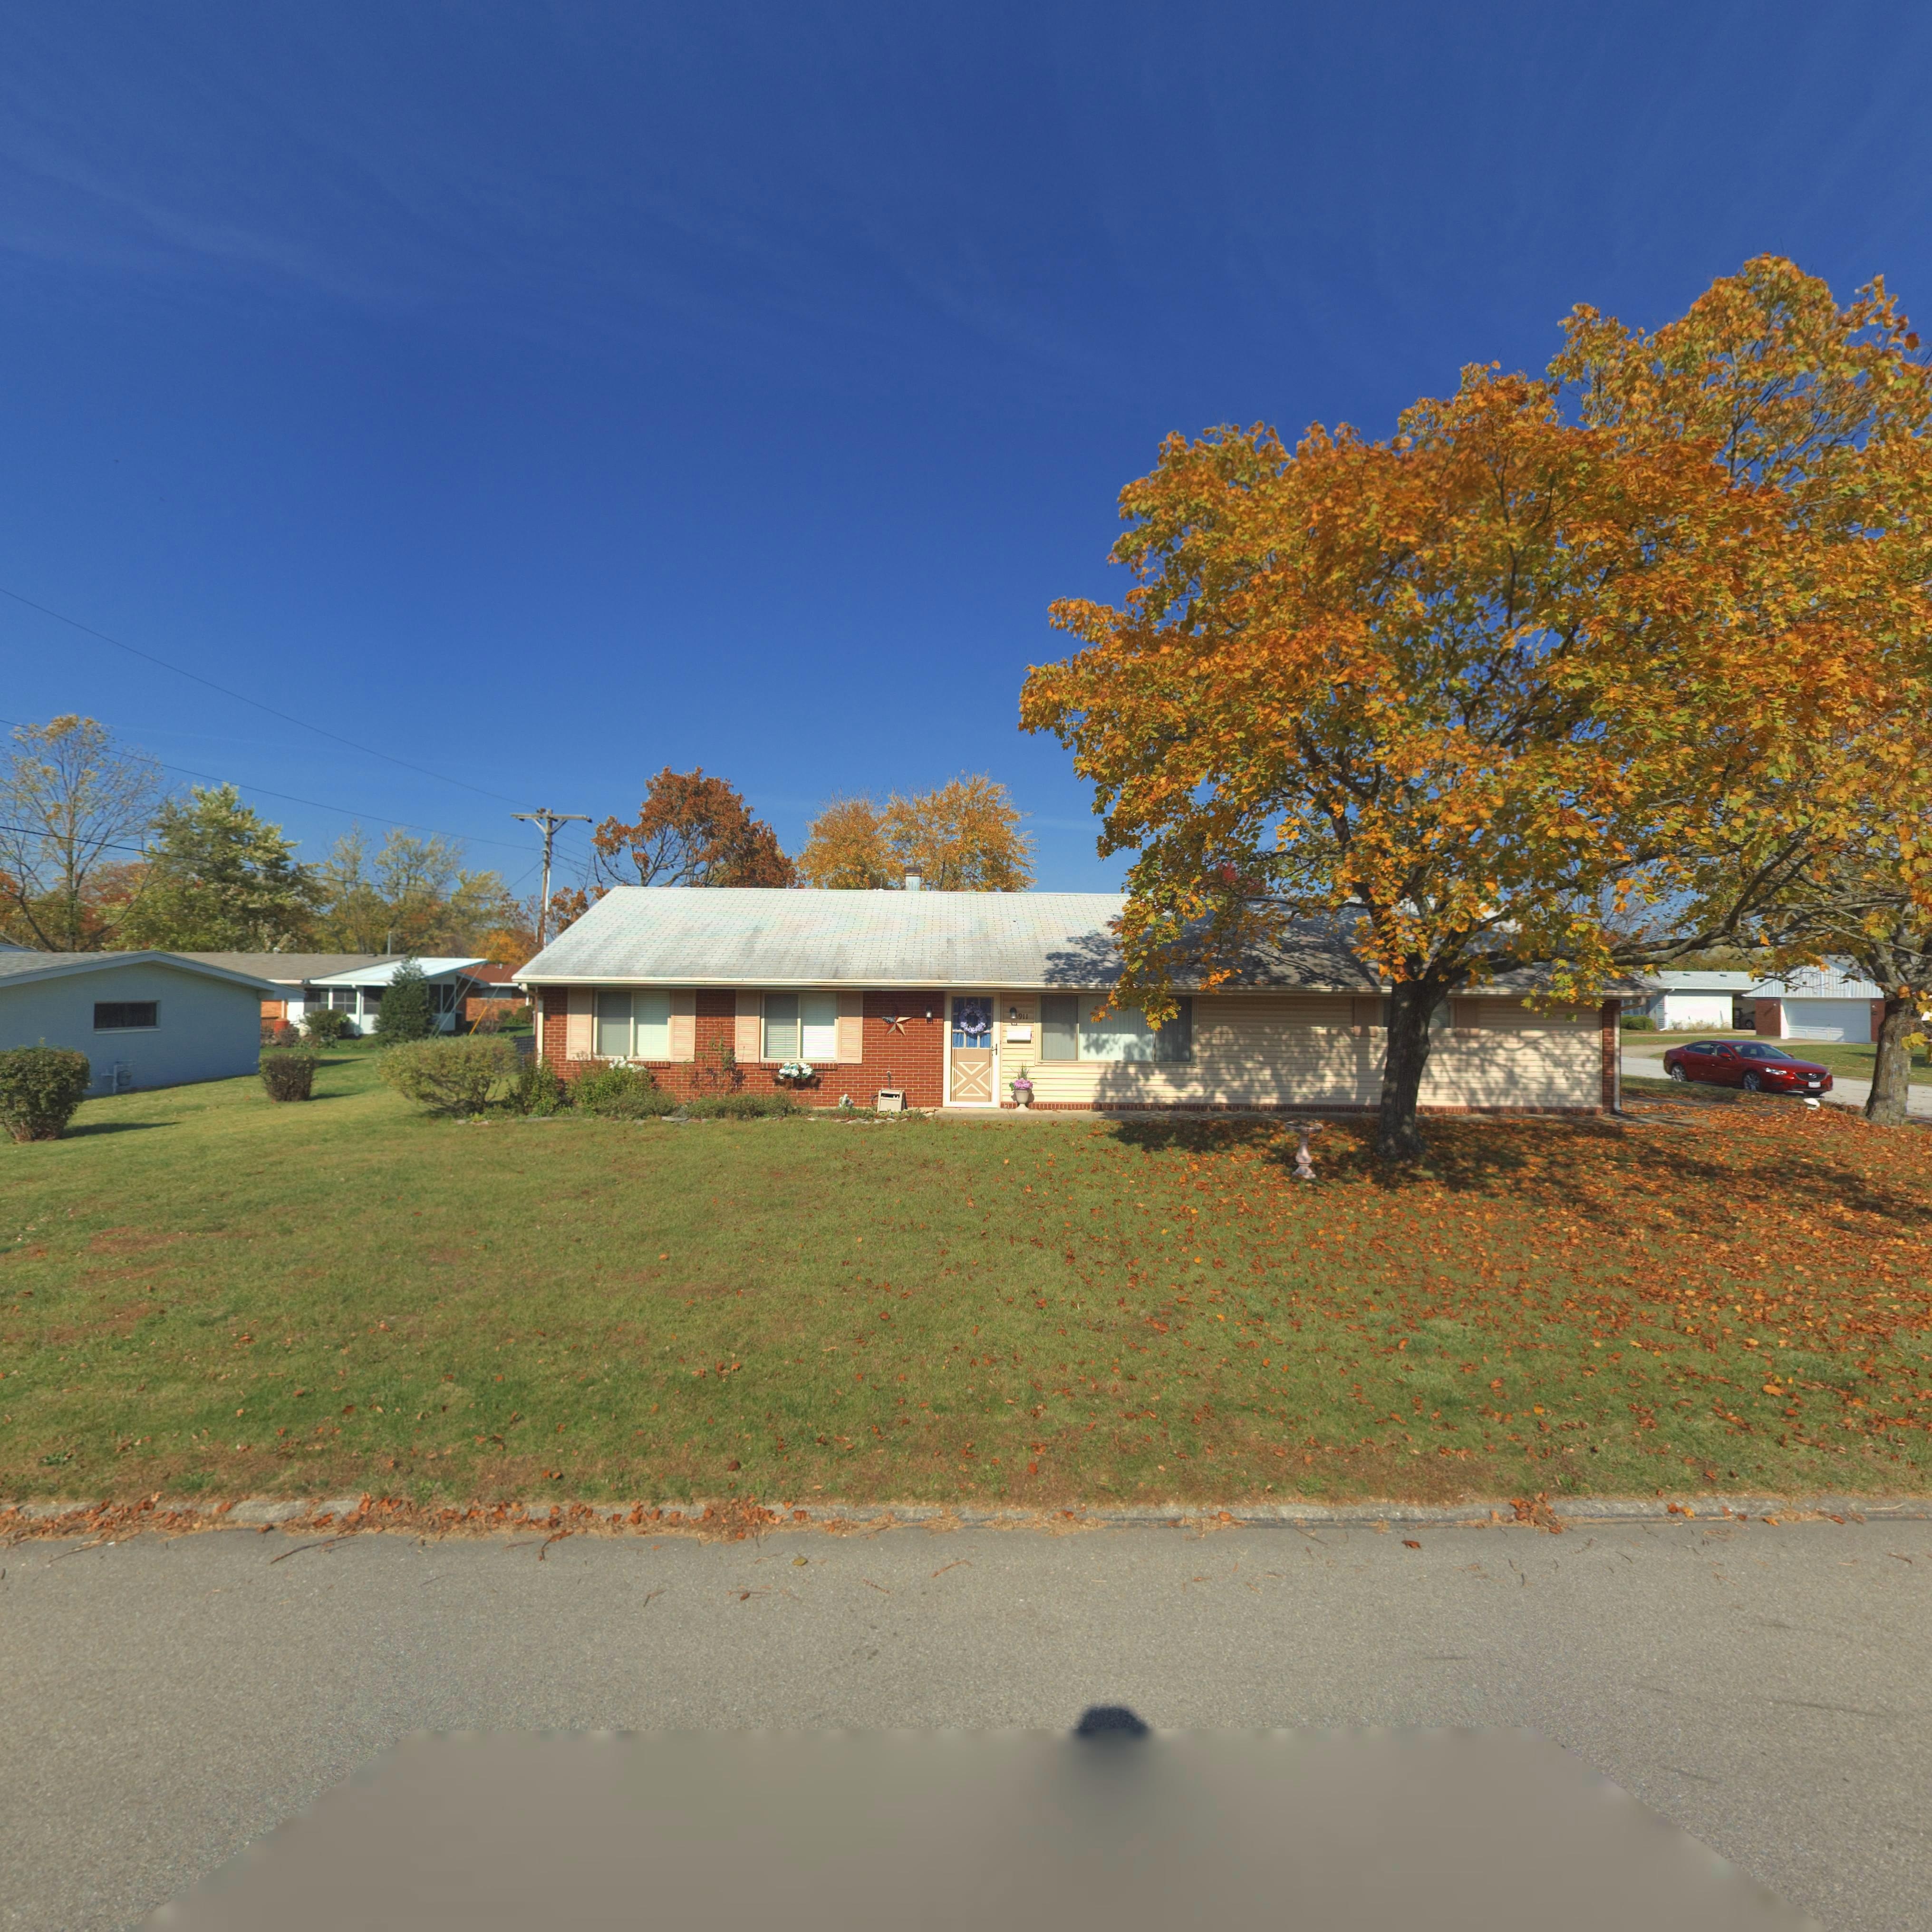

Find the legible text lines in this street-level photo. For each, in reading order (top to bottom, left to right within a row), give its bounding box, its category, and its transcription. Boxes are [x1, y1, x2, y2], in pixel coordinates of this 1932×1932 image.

[1018, 1012, 1029, 1021] StreetNumber: 911